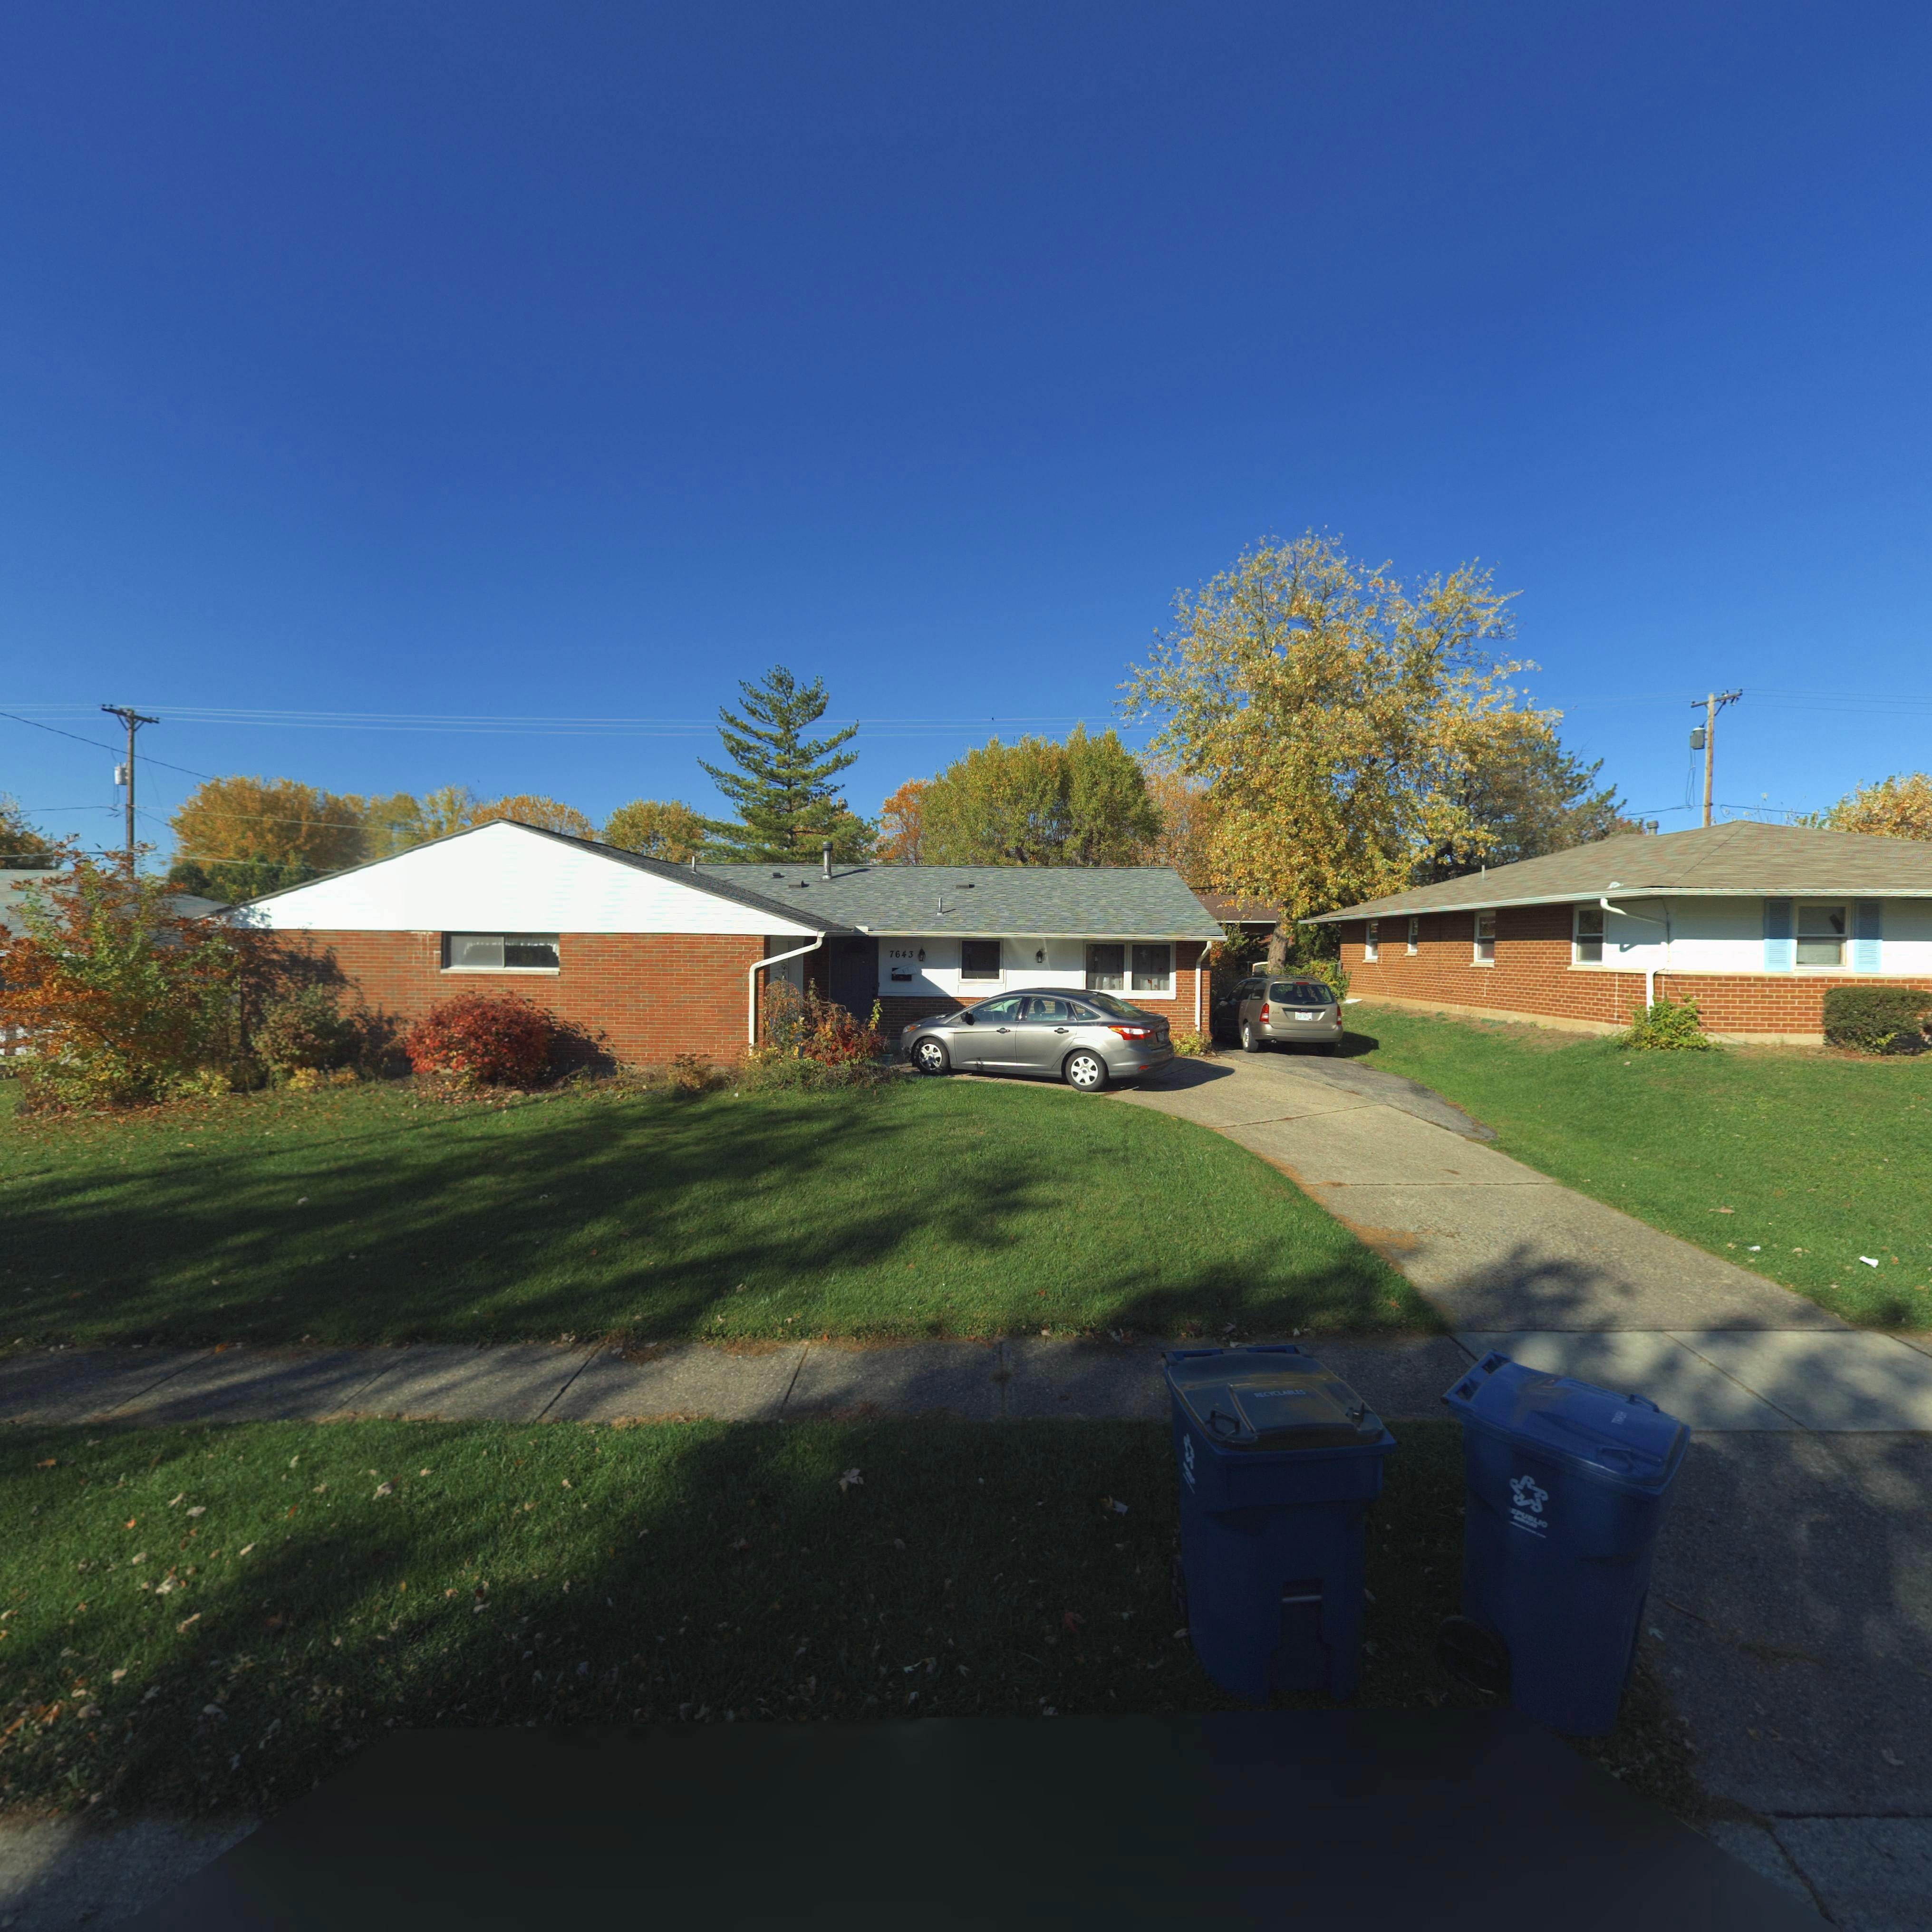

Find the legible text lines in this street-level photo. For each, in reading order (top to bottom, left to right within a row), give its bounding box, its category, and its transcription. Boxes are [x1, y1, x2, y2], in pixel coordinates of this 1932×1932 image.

[889, 950, 914, 958] StreetNumber: 7643